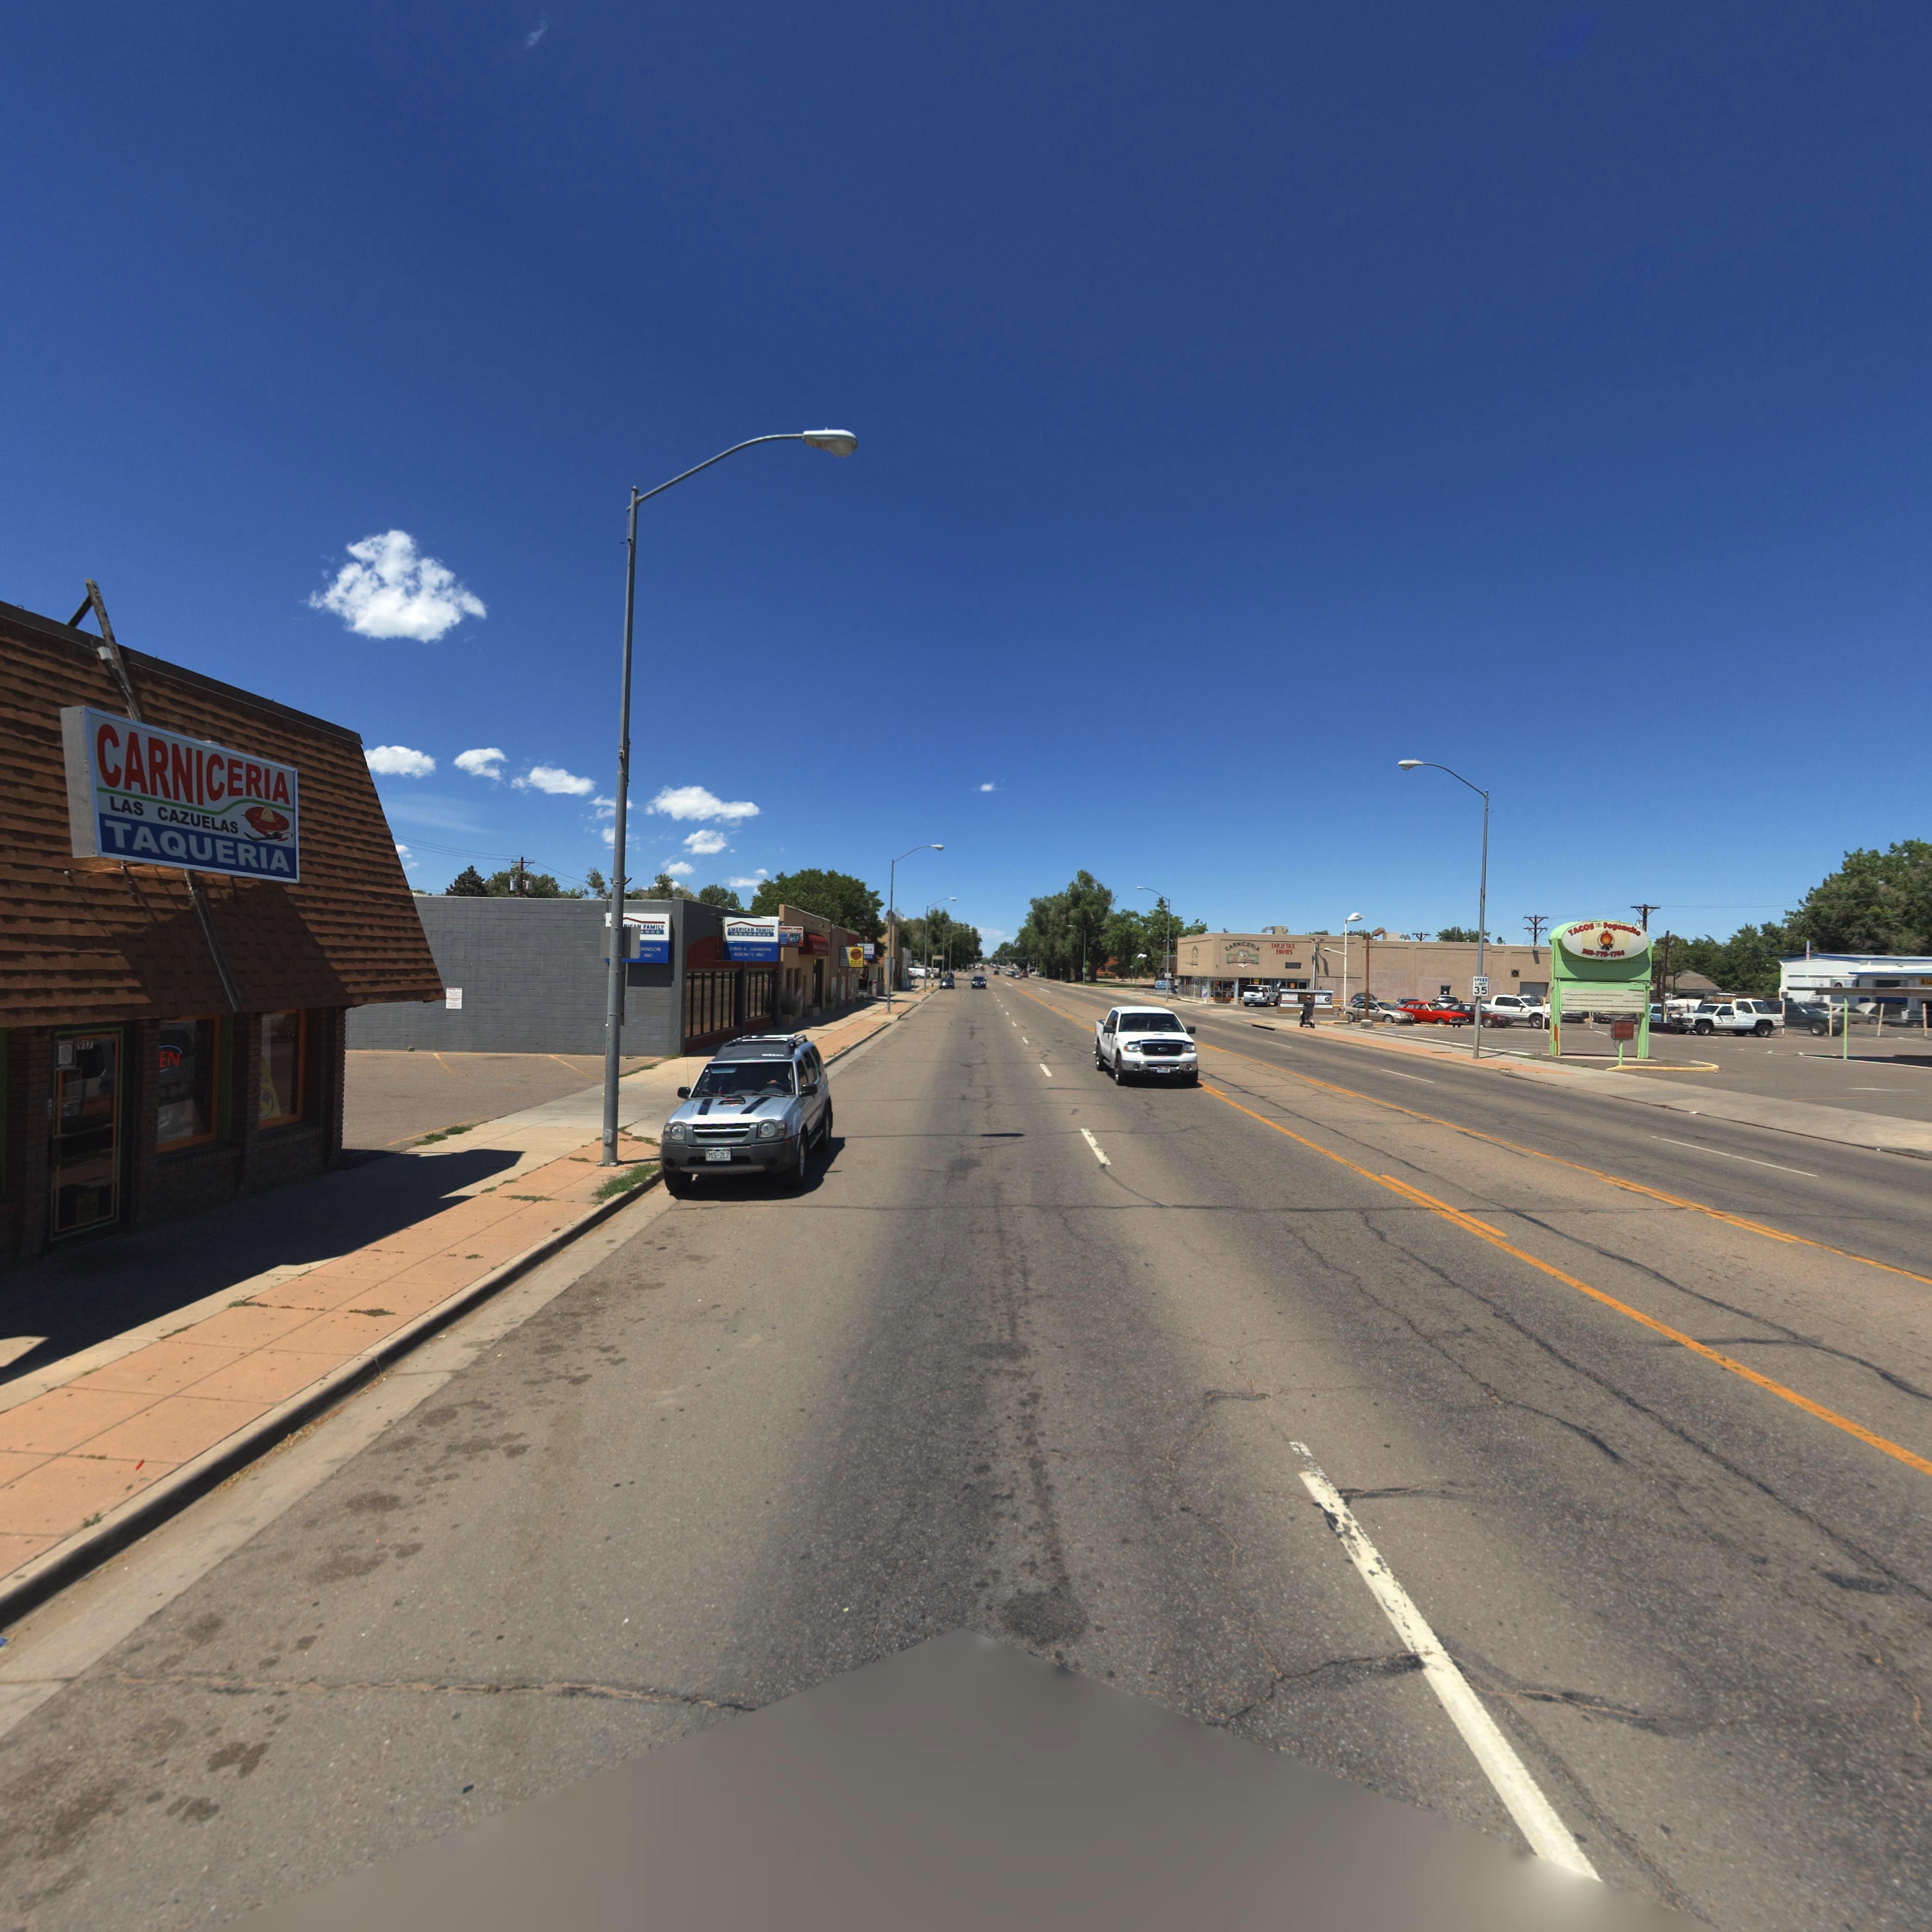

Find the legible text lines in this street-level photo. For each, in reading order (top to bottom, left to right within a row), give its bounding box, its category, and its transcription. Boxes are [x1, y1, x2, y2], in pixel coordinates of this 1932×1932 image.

[109, 795, 240, 835] BusinessName: LAS CAZUELAS
[103, 818, 292, 873] BusinessName: TAQUERIA
[623, 924, 665, 929] BusinessName: ***** FAMILY
[639, 930, 660, 934] BusinessName: ANCE
[731, 932, 771, 936] BusinessName: INSURANCE
[727, 927, 774, 932] BusinessName: AMERICAN FAMILY
[1567, 922, 1641, 936] BusinessName: TACOS EL Fogoacko
[859, 943, 874, 947] BusinessName: ****AN
[862, 947, 873, 951] BusinessName: ****R
[1228, 956, 1255, 962] BusinessName: *a *****a
[1160, 981, 1169, 984] BusinessName: *EN**
[1157, 984, 1173, 987] BusinessName: M**F*** *O
[77, 1040, 93, 1050] StreetNumber: 917